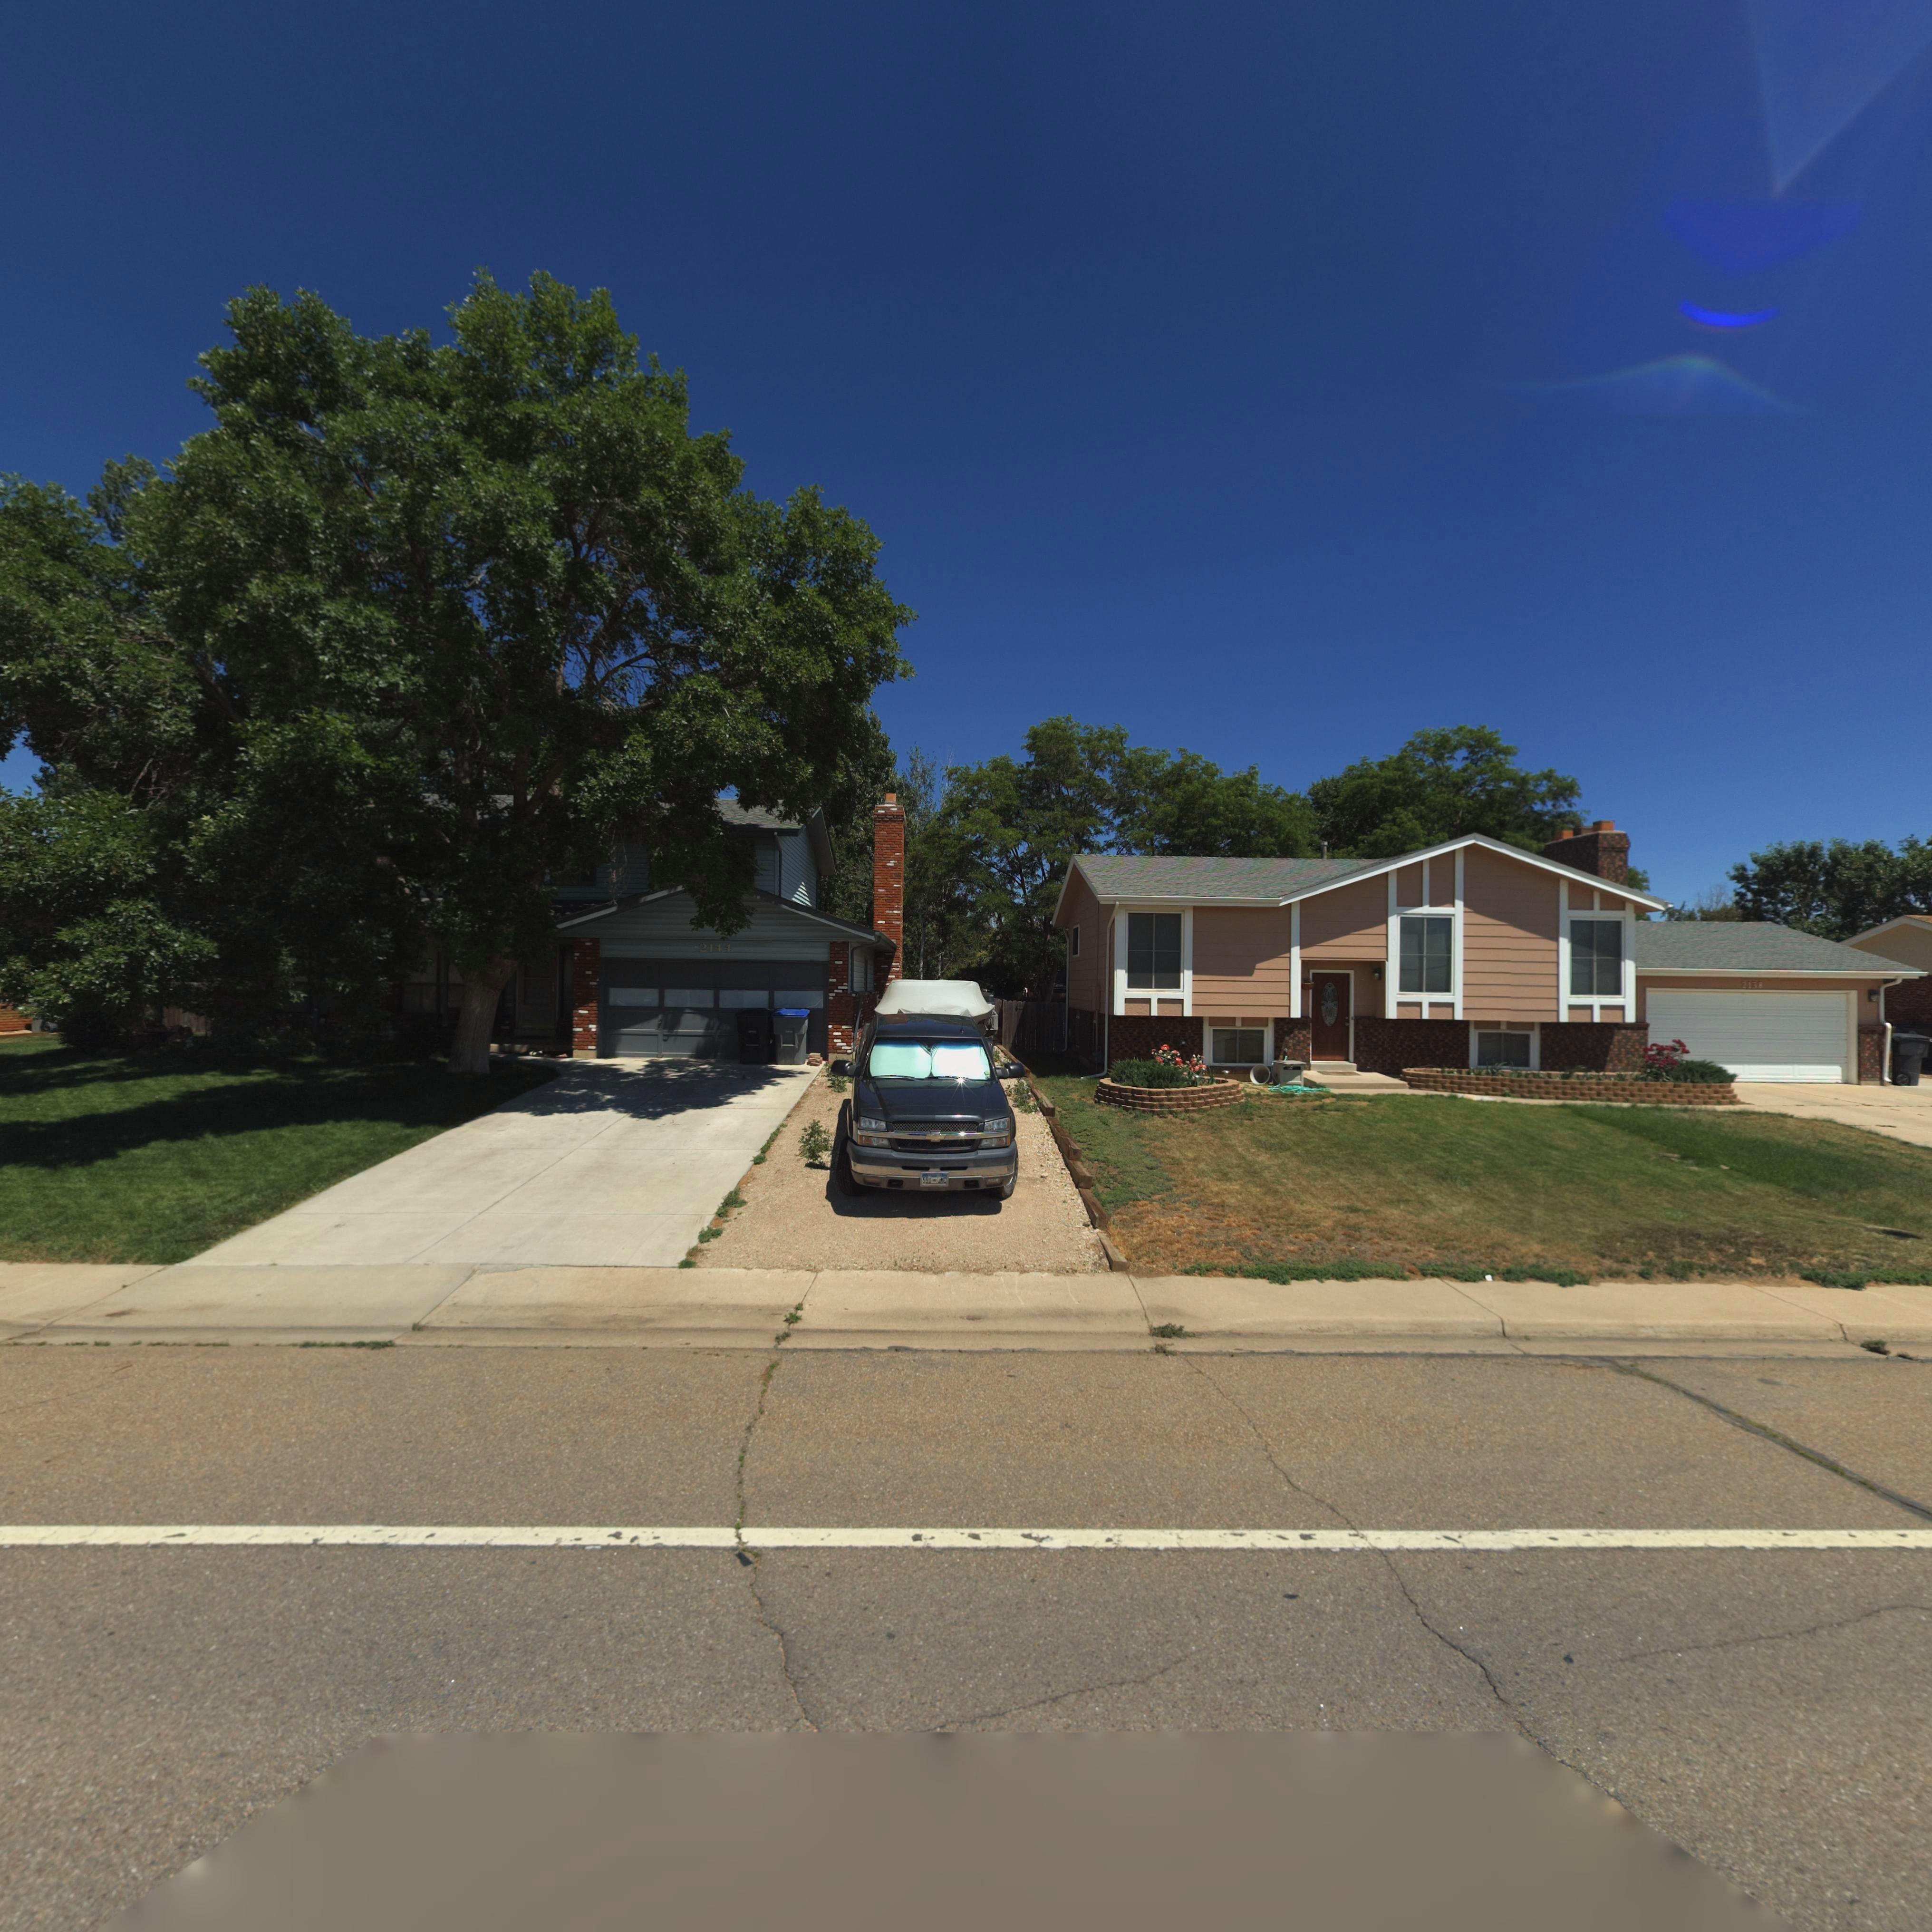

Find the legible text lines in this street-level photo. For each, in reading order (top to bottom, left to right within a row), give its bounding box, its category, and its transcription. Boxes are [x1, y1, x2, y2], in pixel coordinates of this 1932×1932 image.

[699, 943, 731, 952] StreetNumber: 2144
[1741, 981, 1764, 989] StreetNumber: 2138